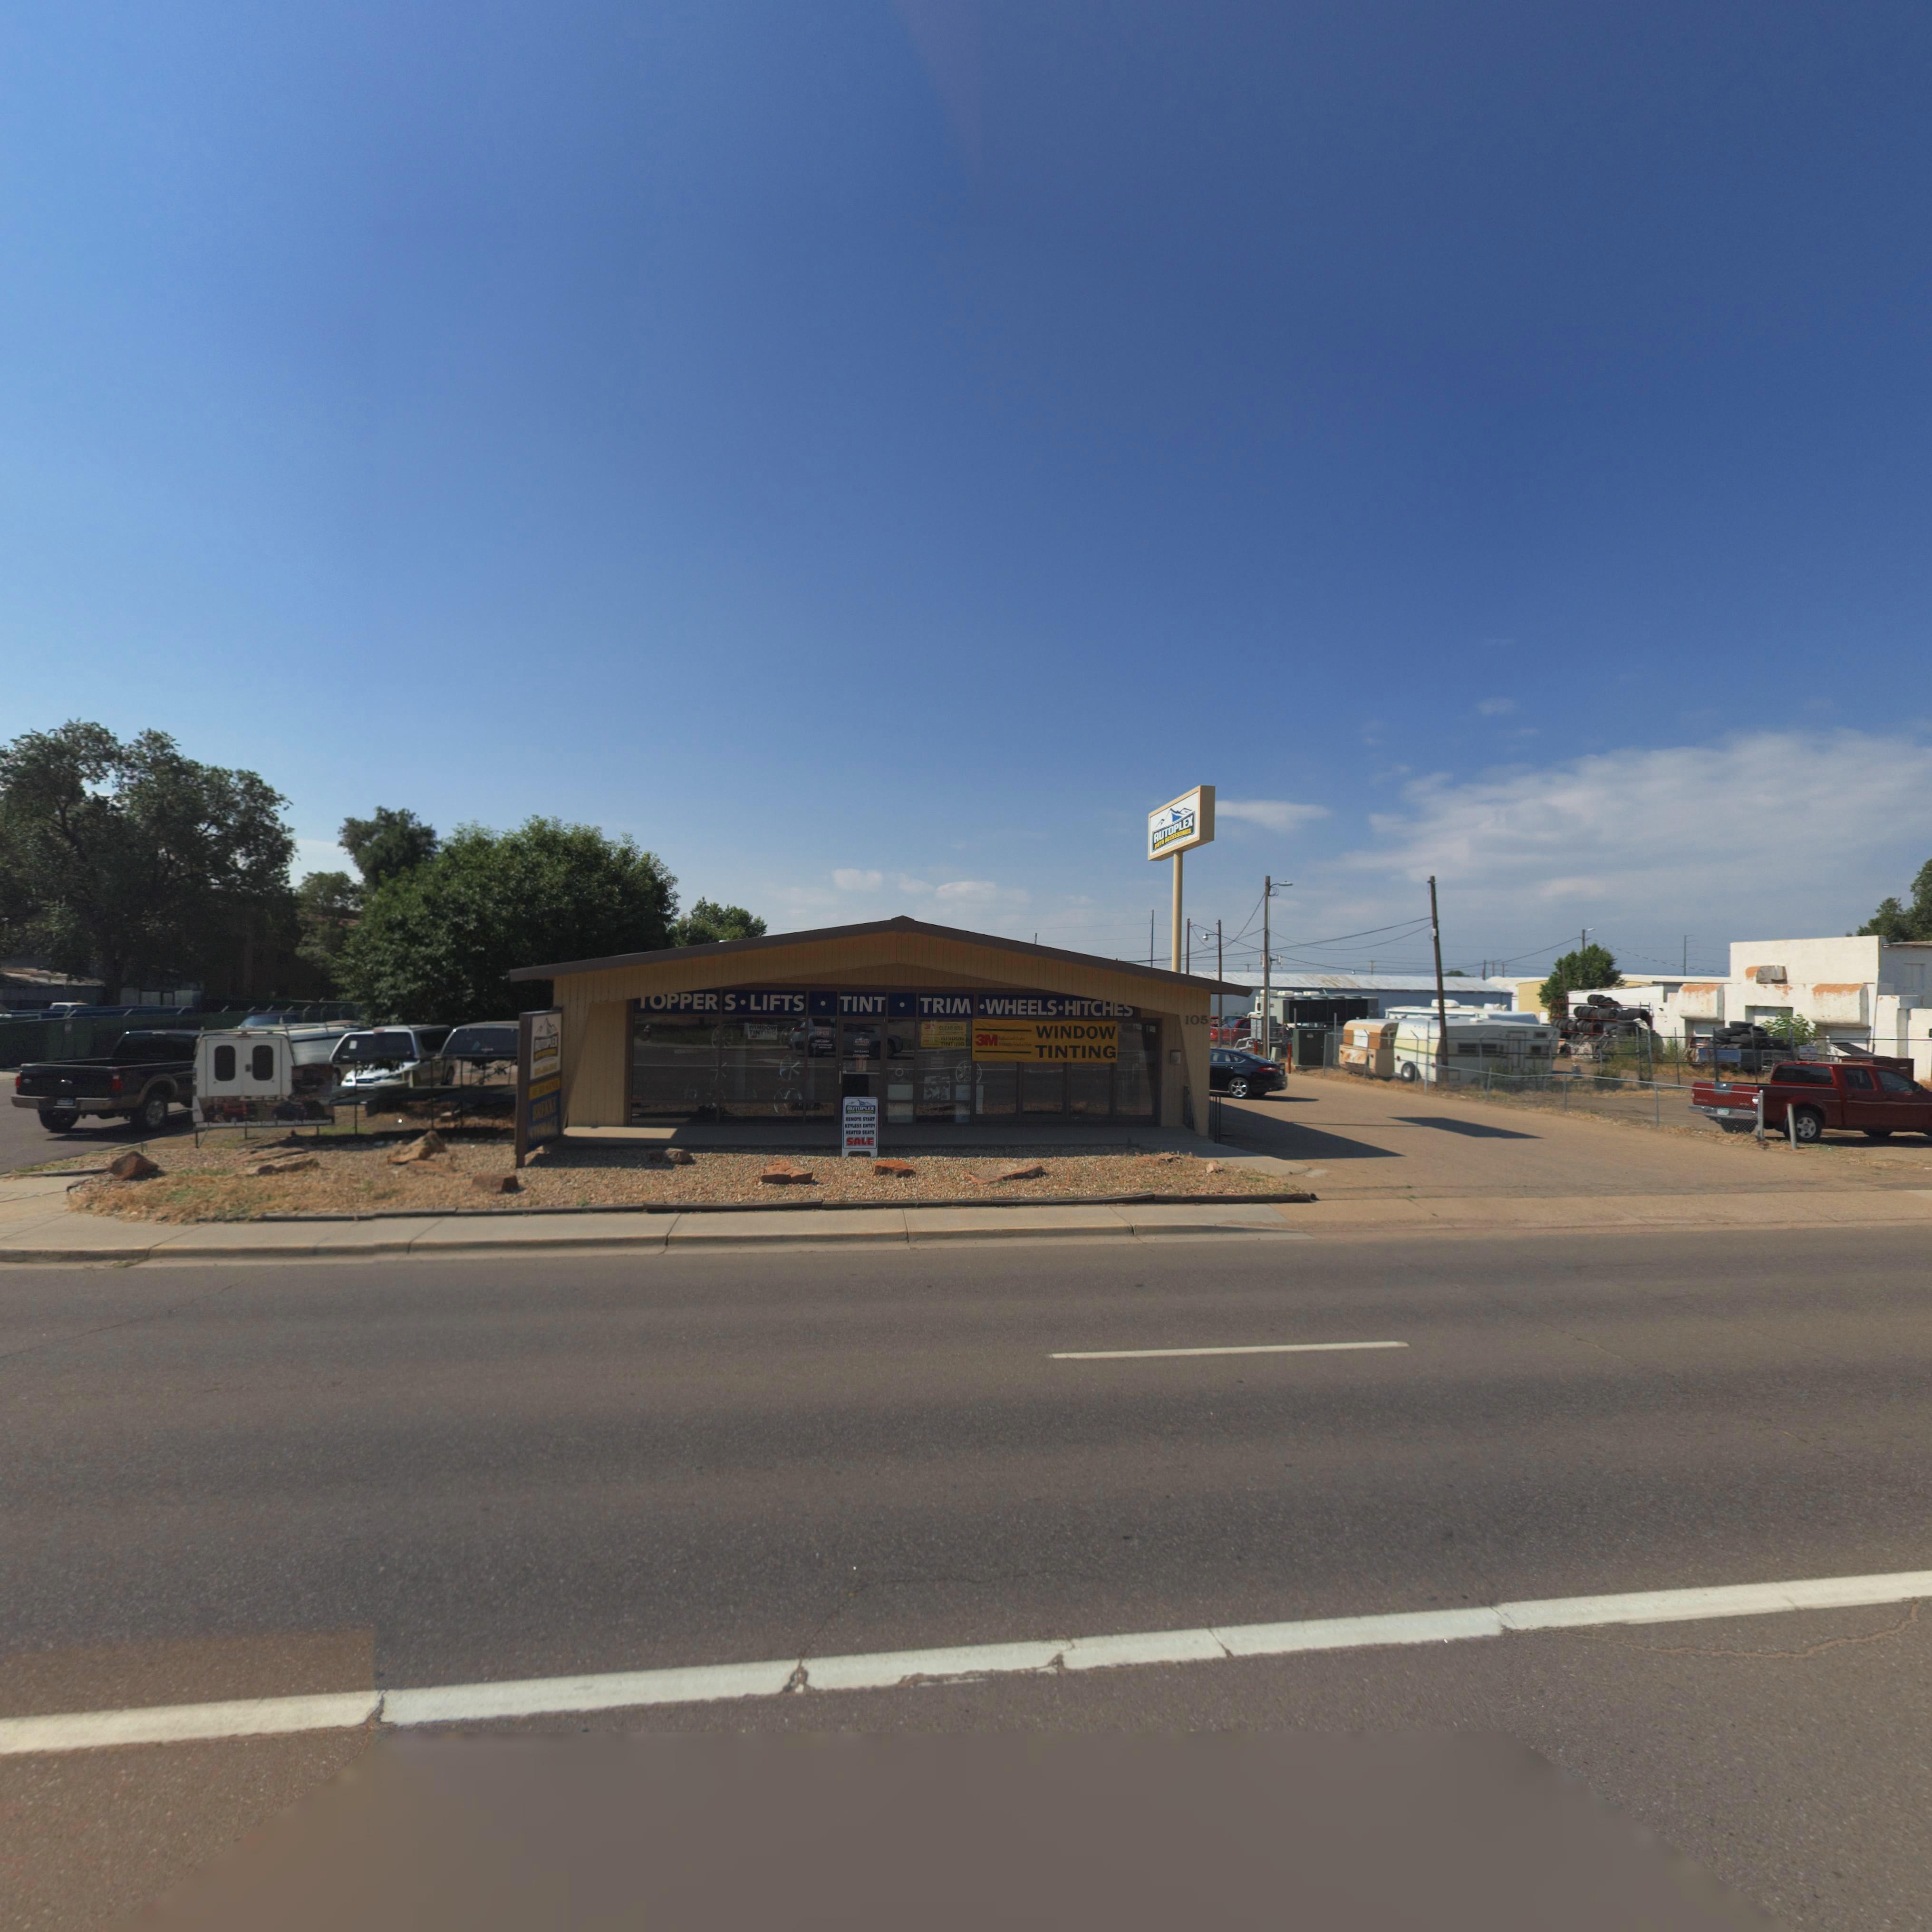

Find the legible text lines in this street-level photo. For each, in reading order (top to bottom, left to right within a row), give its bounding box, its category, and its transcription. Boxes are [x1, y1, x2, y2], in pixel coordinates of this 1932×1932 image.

[1153, 814, 1193, 844] BusinessName: AUTOPLEX
[1184, 1014, 1208, 1025] StreetNumber: 105
[534, 1034, 558, 1053] BusinessName: AUTOPLEX
[532, 1095, 558, 1122] BusinessName: BREKKE
[847, 1105, 874, 1111] BusinessName: AUTOPLEX
[528, 1114, 559, 1146] BusinessName: STORAGE